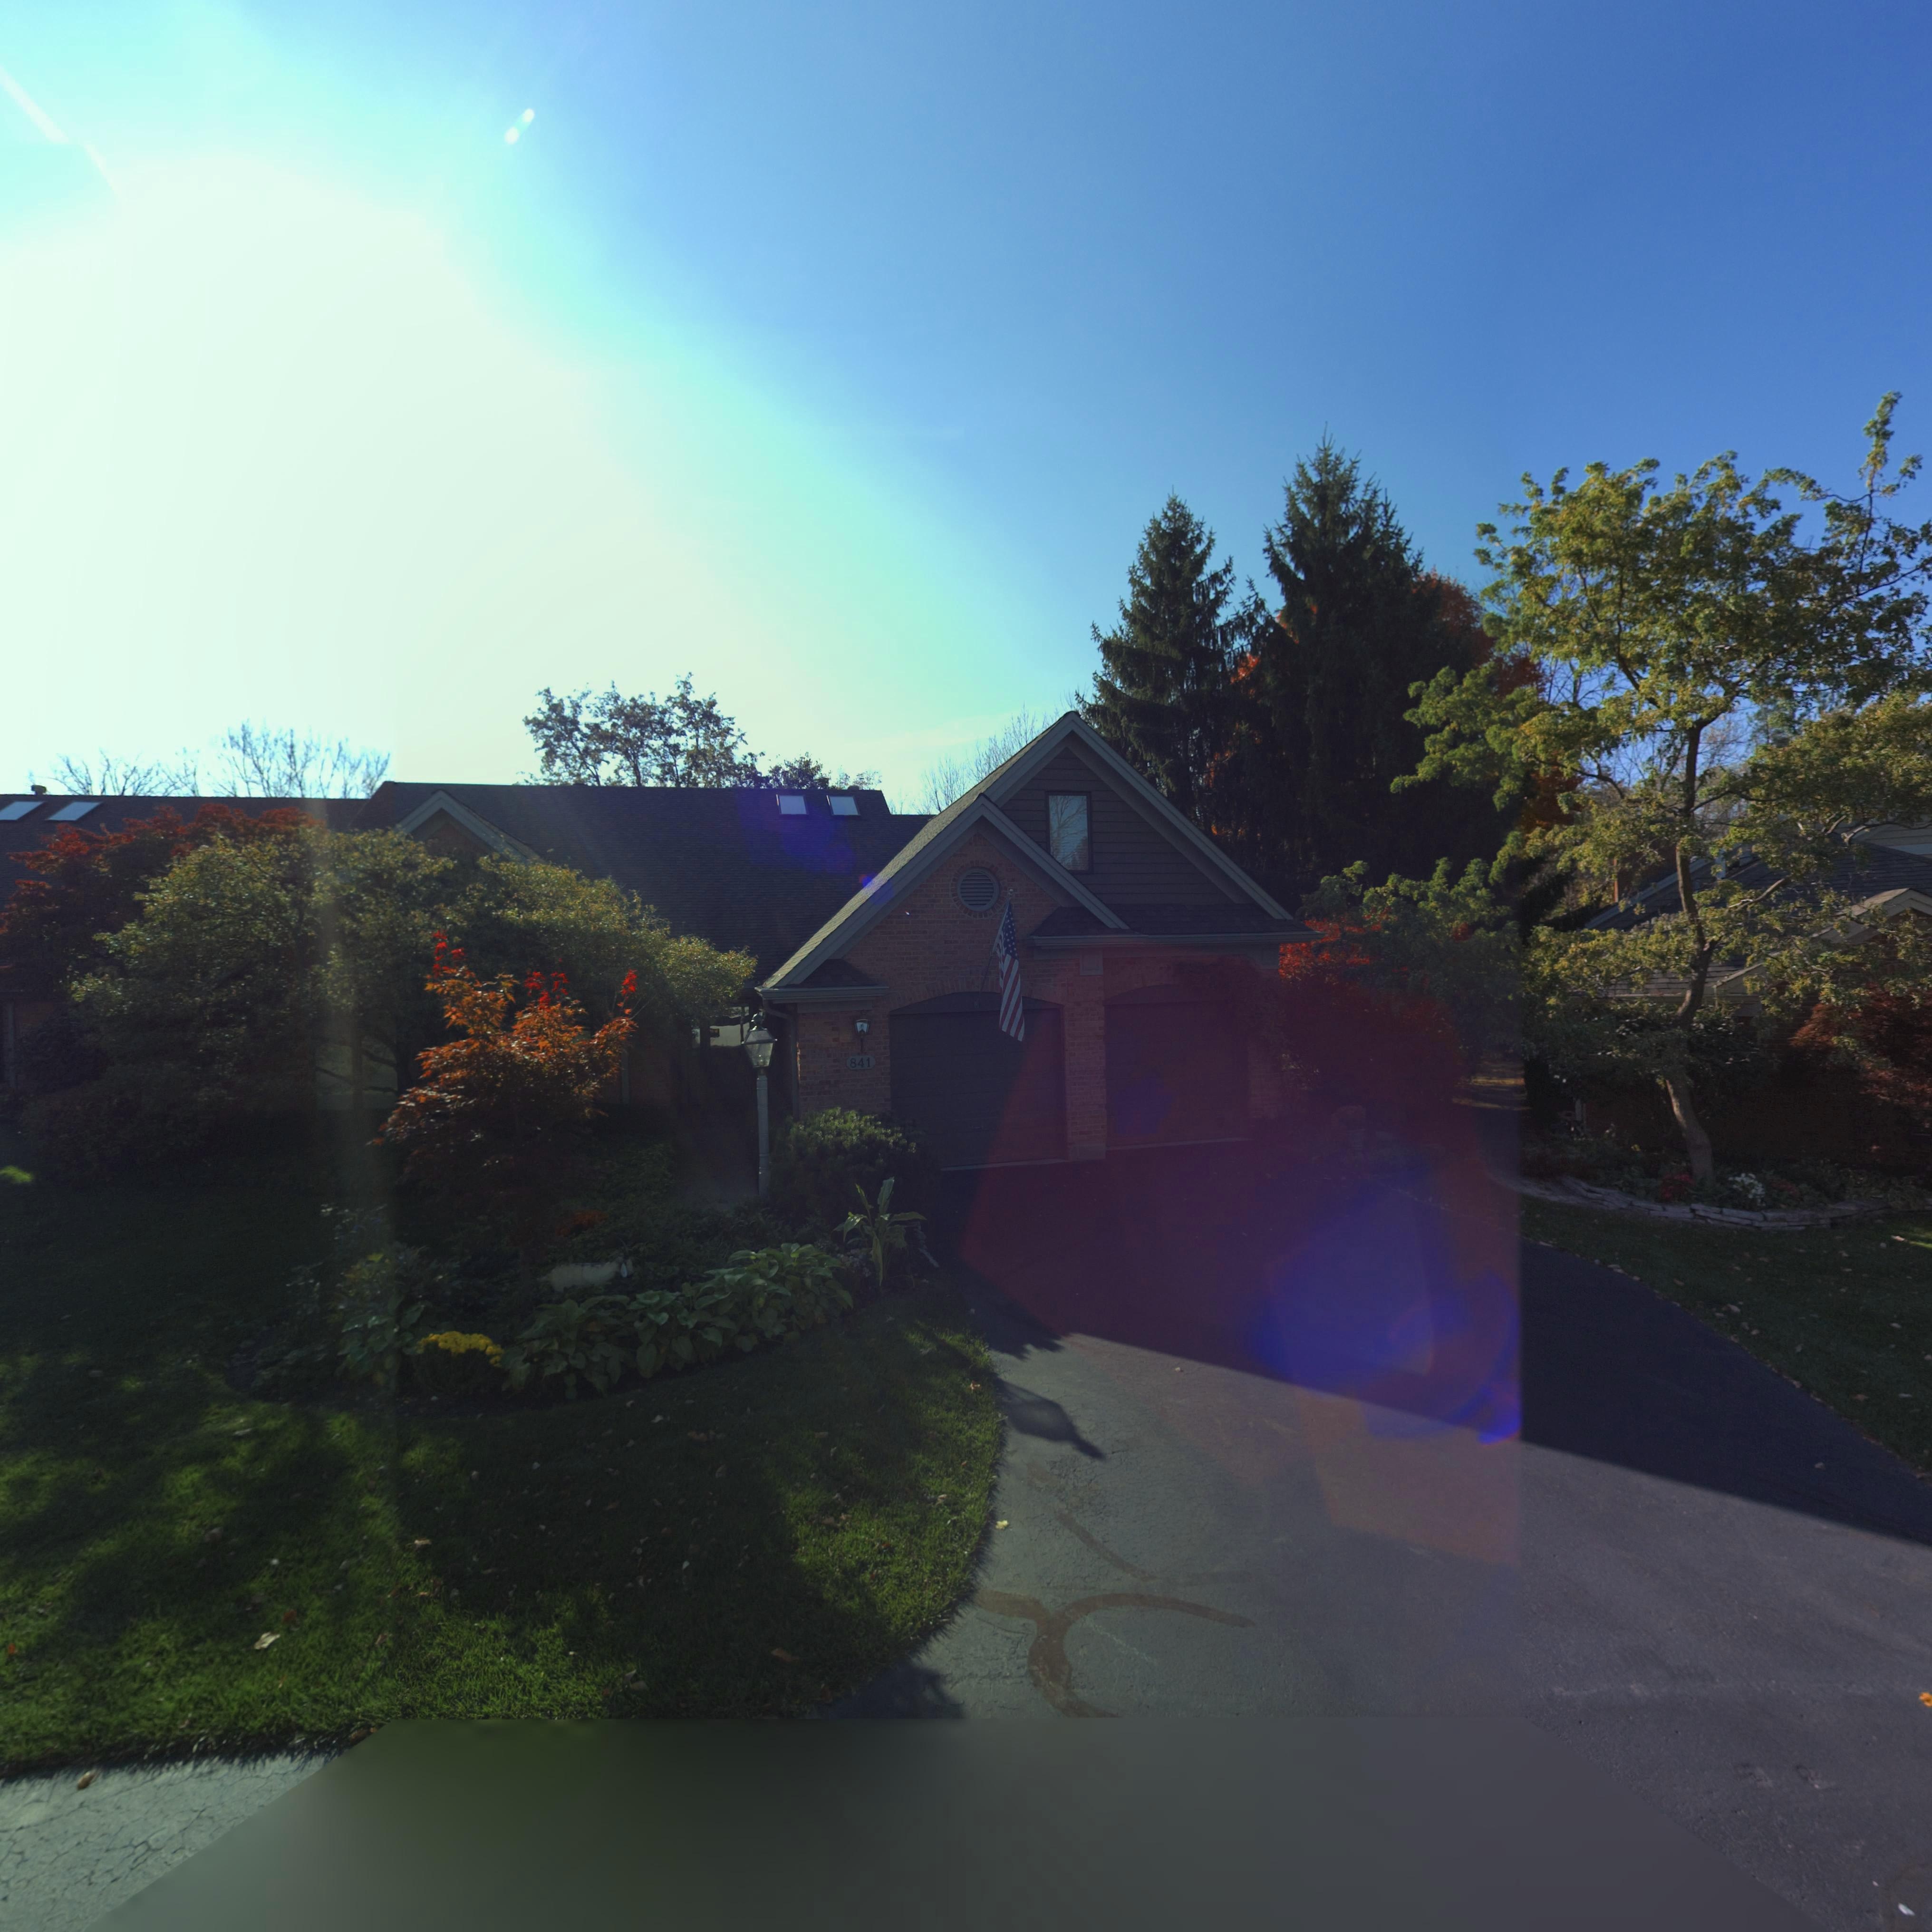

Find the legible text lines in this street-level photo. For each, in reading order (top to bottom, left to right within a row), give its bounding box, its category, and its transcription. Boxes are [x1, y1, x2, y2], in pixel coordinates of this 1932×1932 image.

[850, 1056, 871, 1068] StreetNumber: 841